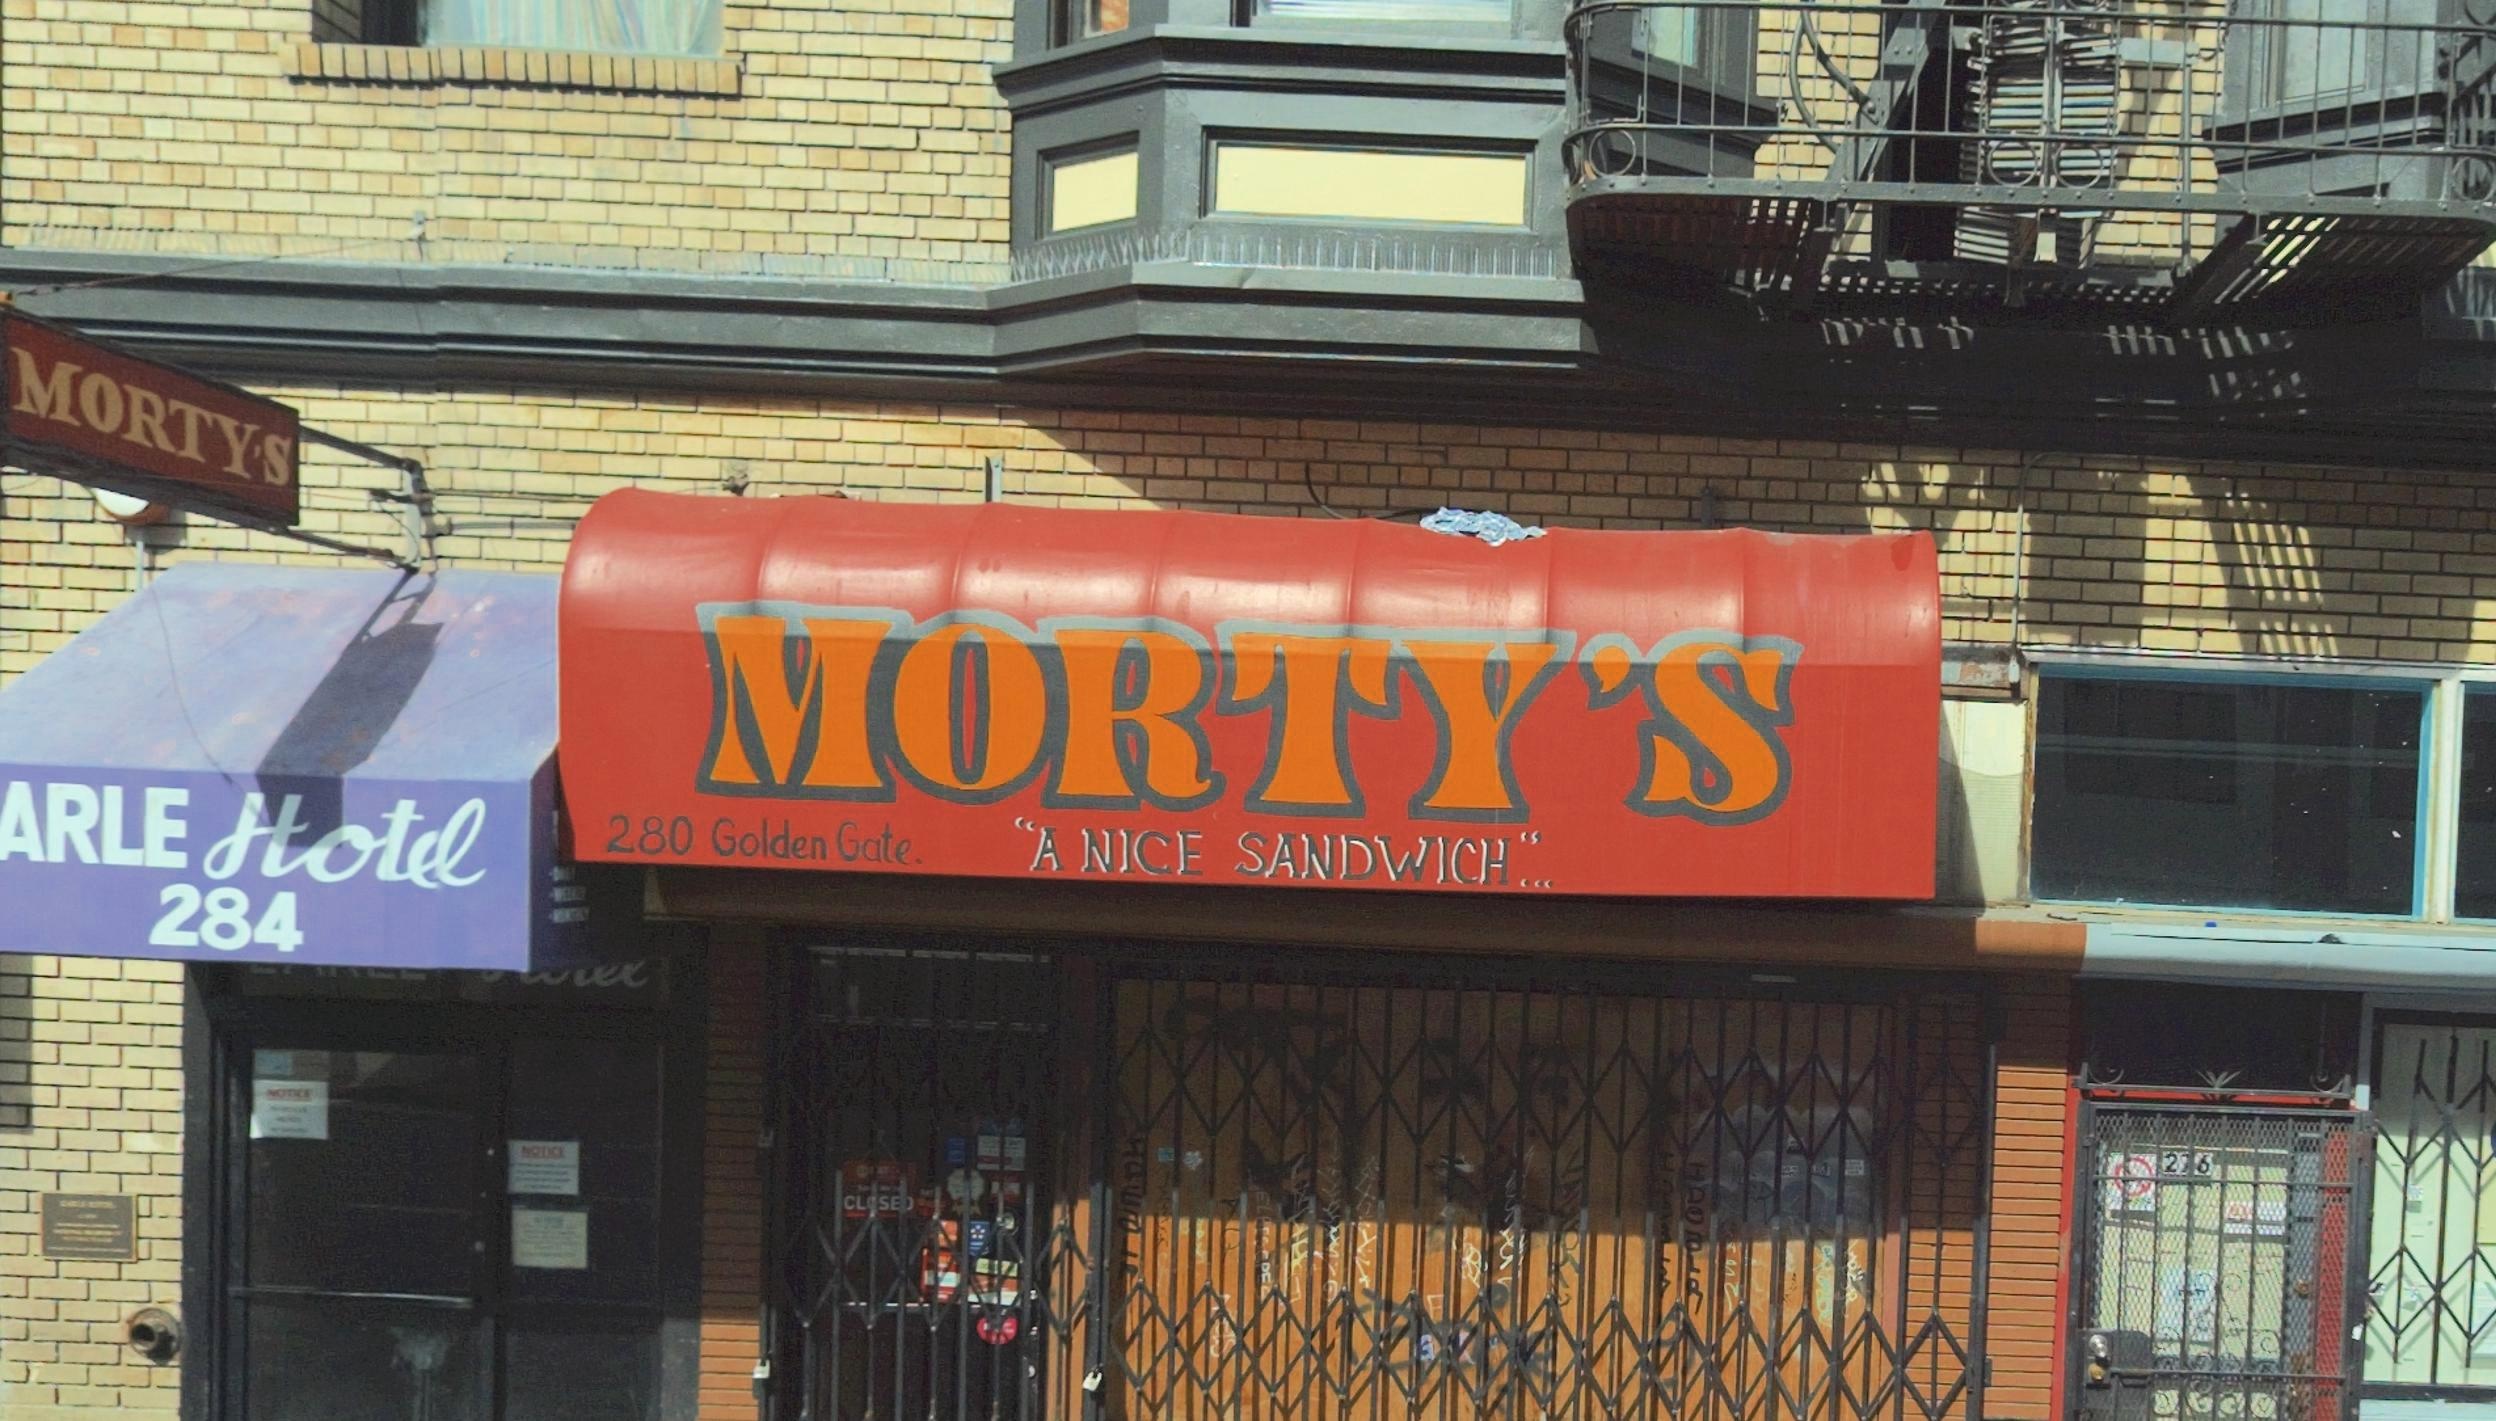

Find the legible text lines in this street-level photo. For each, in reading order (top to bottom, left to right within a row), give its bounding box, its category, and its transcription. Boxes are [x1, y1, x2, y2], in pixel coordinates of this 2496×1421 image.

[3, 339, 298, 495] BusinessName: MORTY'S
[703, 613, 1789, 821] BusinessName: MORTY'S
[0, 779, 491, 893] BusinessName: ARLE Hotel
[599, 807, 698, 861] StreetNumber: 280
[708, 813, 917, 866] StreetName: Golden Gate
[1023, 824, 1515, 888] None: A NICE SANDWICH
[145, 880, 309, 956] StreetNumber: 284
[262, 1086, 315, 1102] None: NOTICE
[516, 1144, 569, 1163] None: NOTICE
[2159, 1149, 2217, 1182] StreetNumber: 2*6
[838, 1192, 920, 1214] None: CL*S**